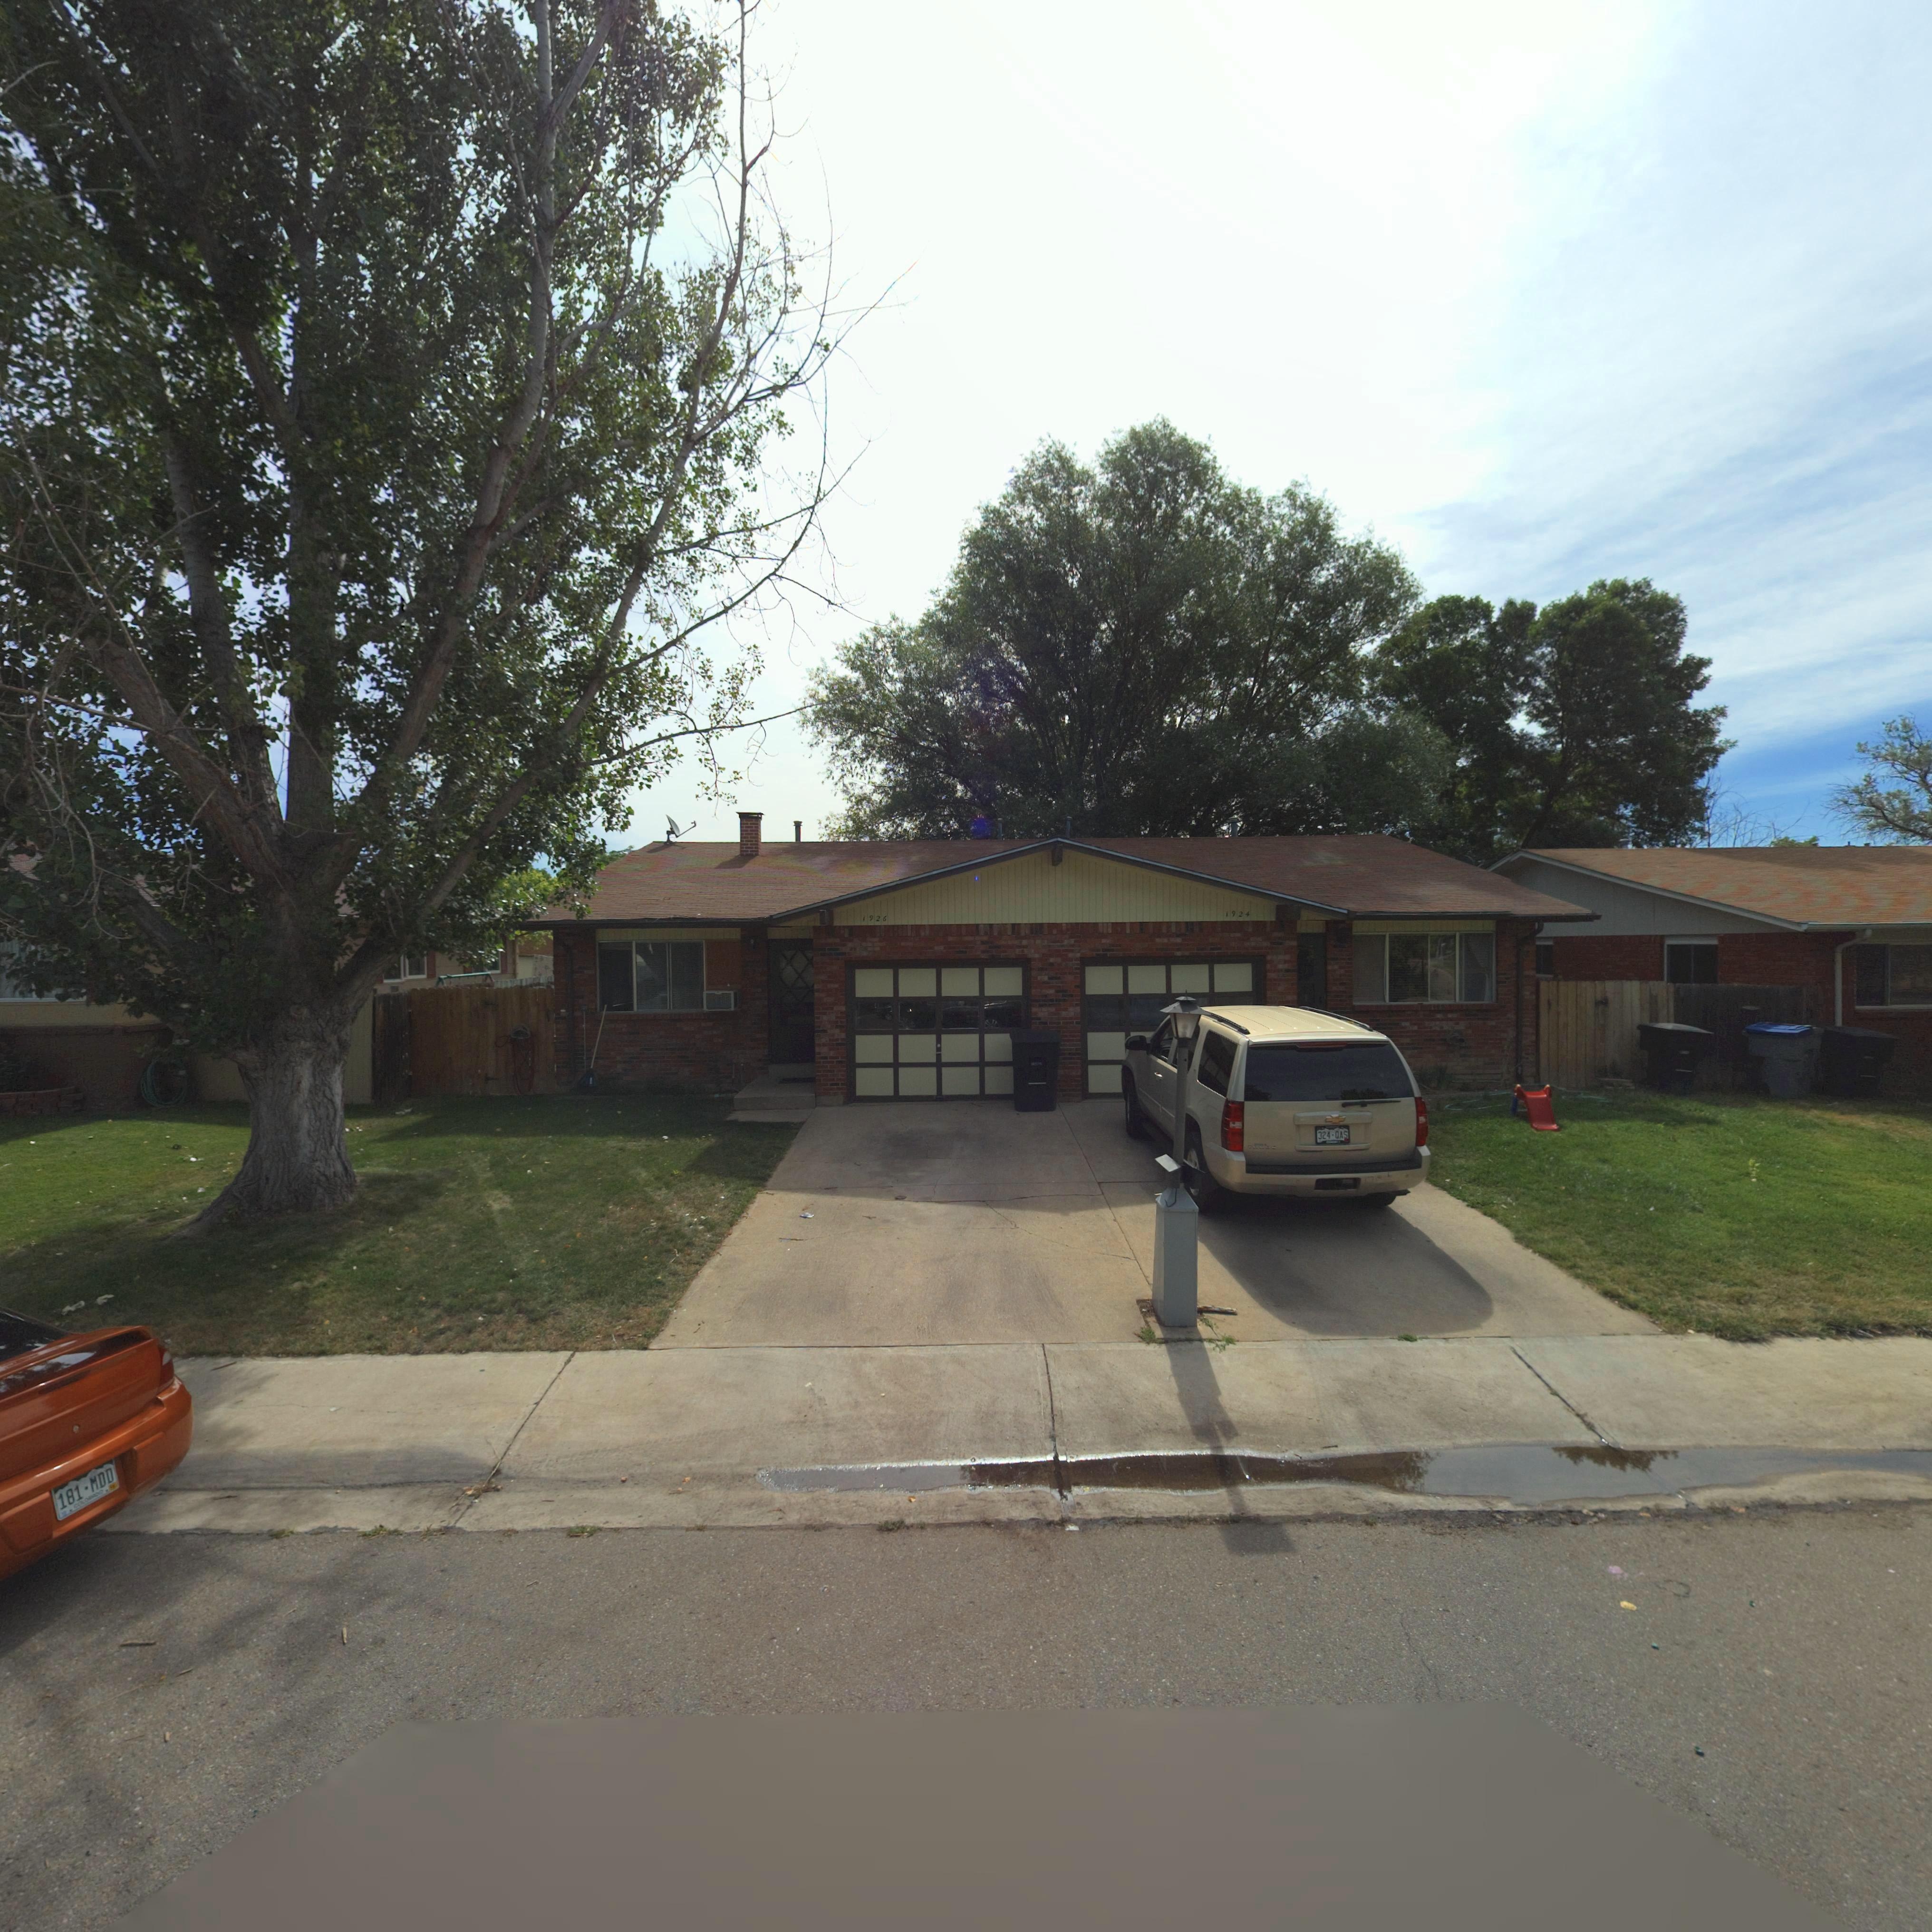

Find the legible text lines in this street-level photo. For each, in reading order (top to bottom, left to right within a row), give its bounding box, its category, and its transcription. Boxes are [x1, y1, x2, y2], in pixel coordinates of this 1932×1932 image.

[1224, 910, 1250, 918] StreetNumber: 1924
[861, 914, 888, 922] StreetNumber: 1926